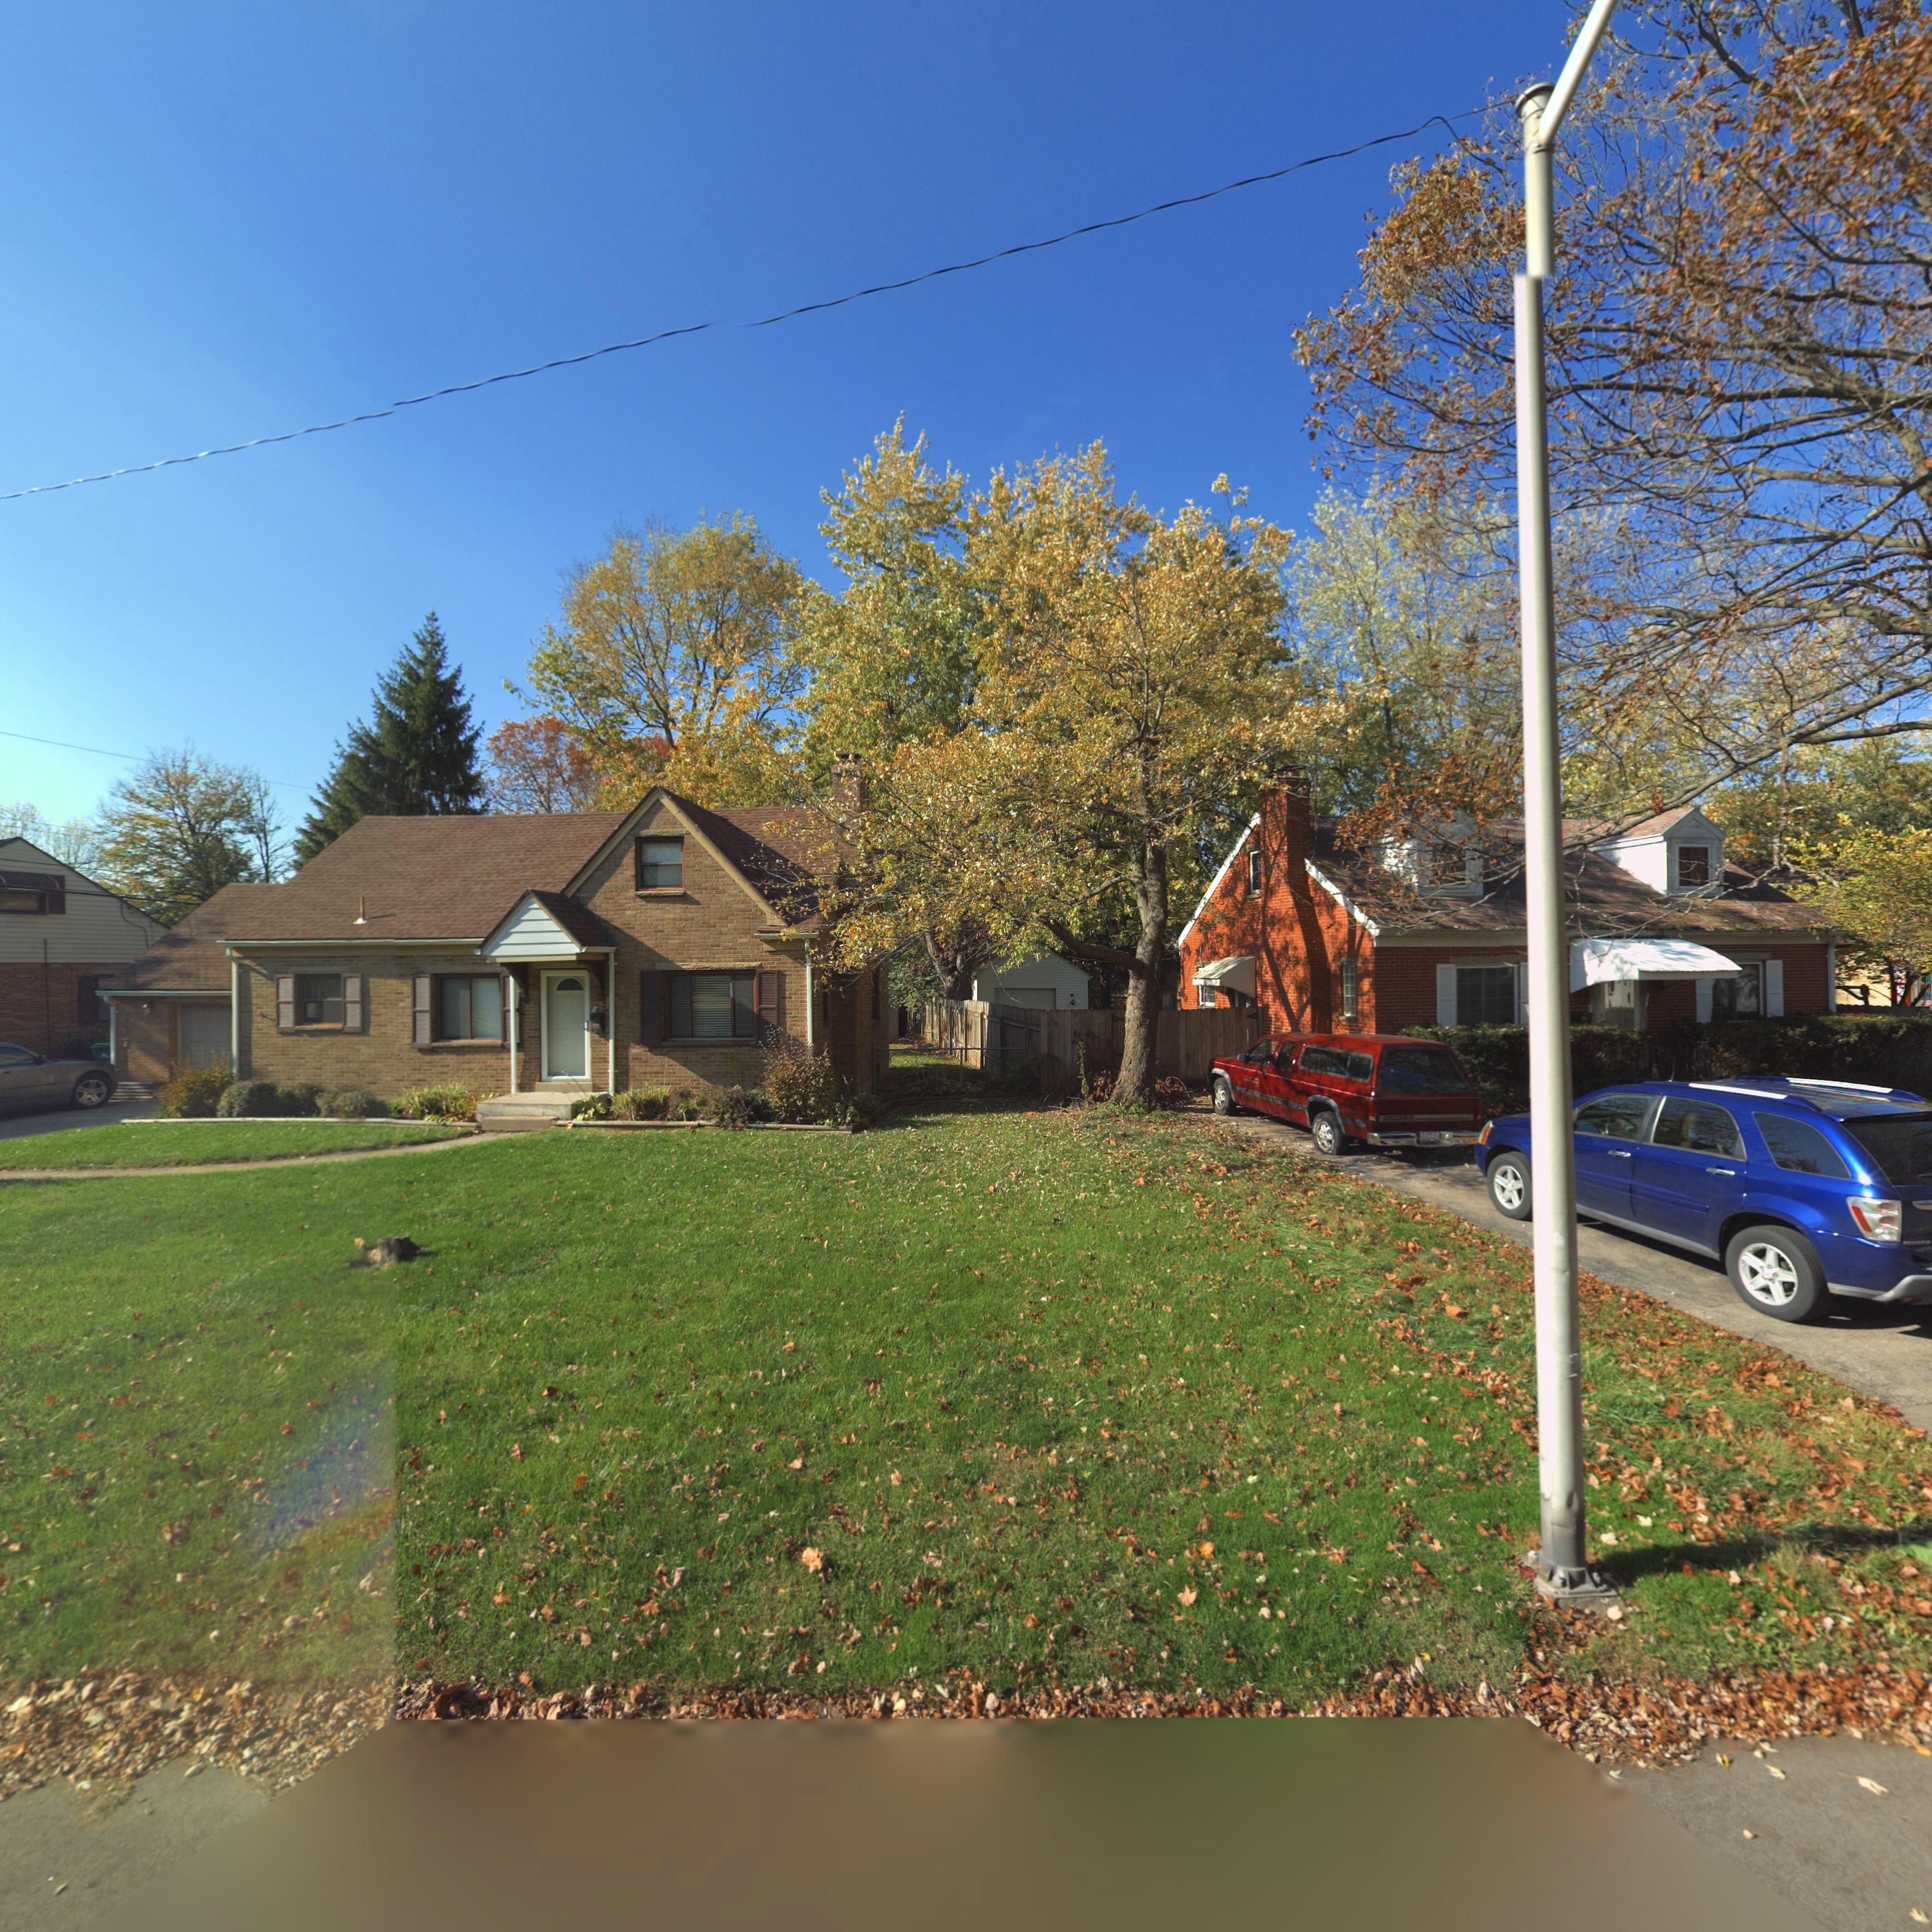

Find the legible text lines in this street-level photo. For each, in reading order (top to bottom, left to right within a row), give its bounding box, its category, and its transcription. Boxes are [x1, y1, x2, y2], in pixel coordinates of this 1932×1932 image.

[1381, 1114, 1415, 1121] None: DODGE